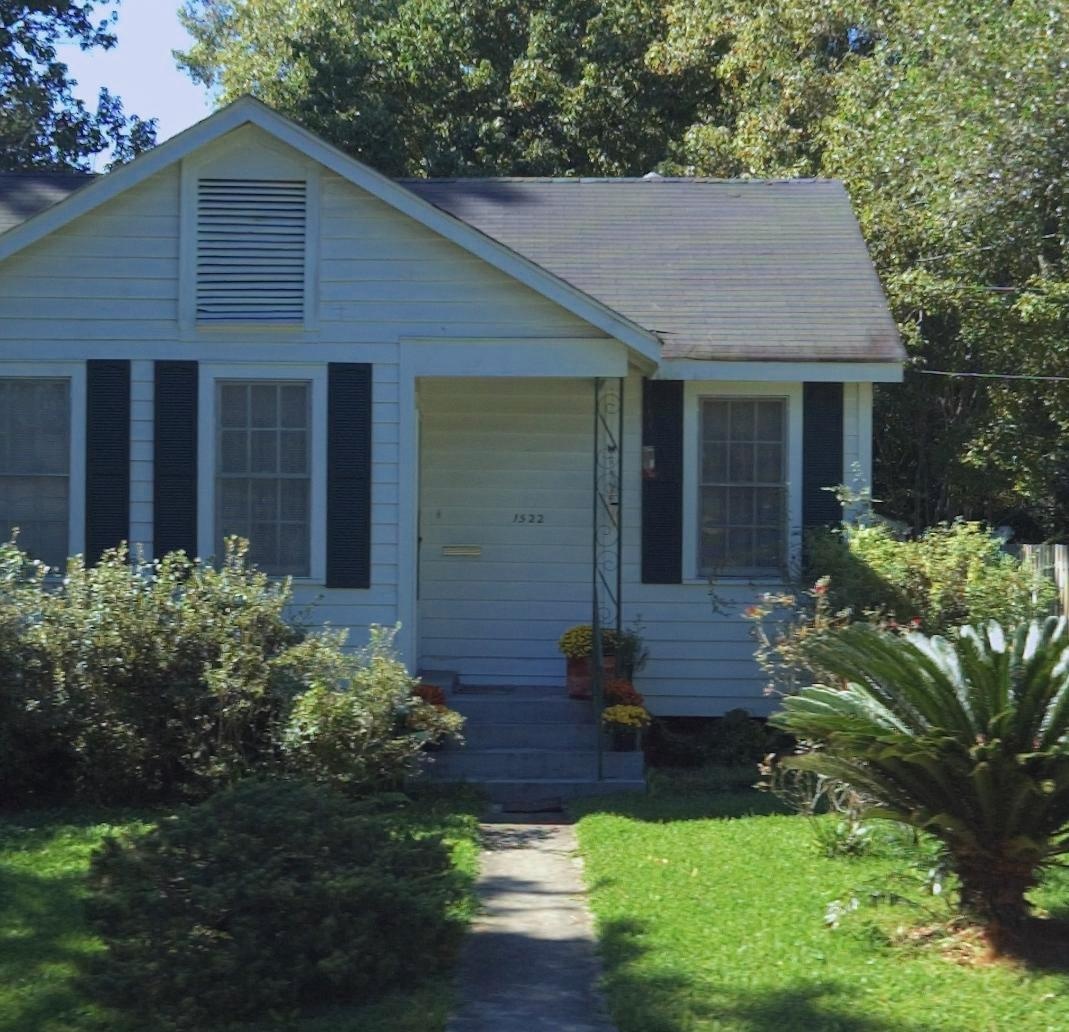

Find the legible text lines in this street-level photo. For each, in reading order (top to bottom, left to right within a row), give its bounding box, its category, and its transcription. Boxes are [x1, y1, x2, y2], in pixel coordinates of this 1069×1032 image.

[510, 512, 546, 525] StreetNumber: 1522